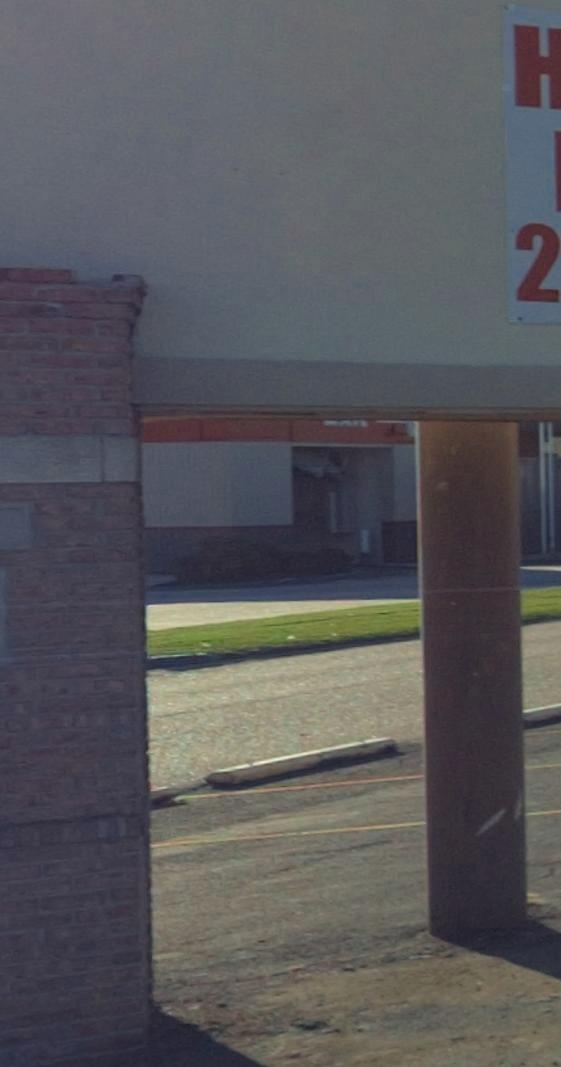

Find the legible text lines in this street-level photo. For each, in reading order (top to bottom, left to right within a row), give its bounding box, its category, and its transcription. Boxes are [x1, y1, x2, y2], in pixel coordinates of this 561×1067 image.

[513, 220, 561, 304] None: 2